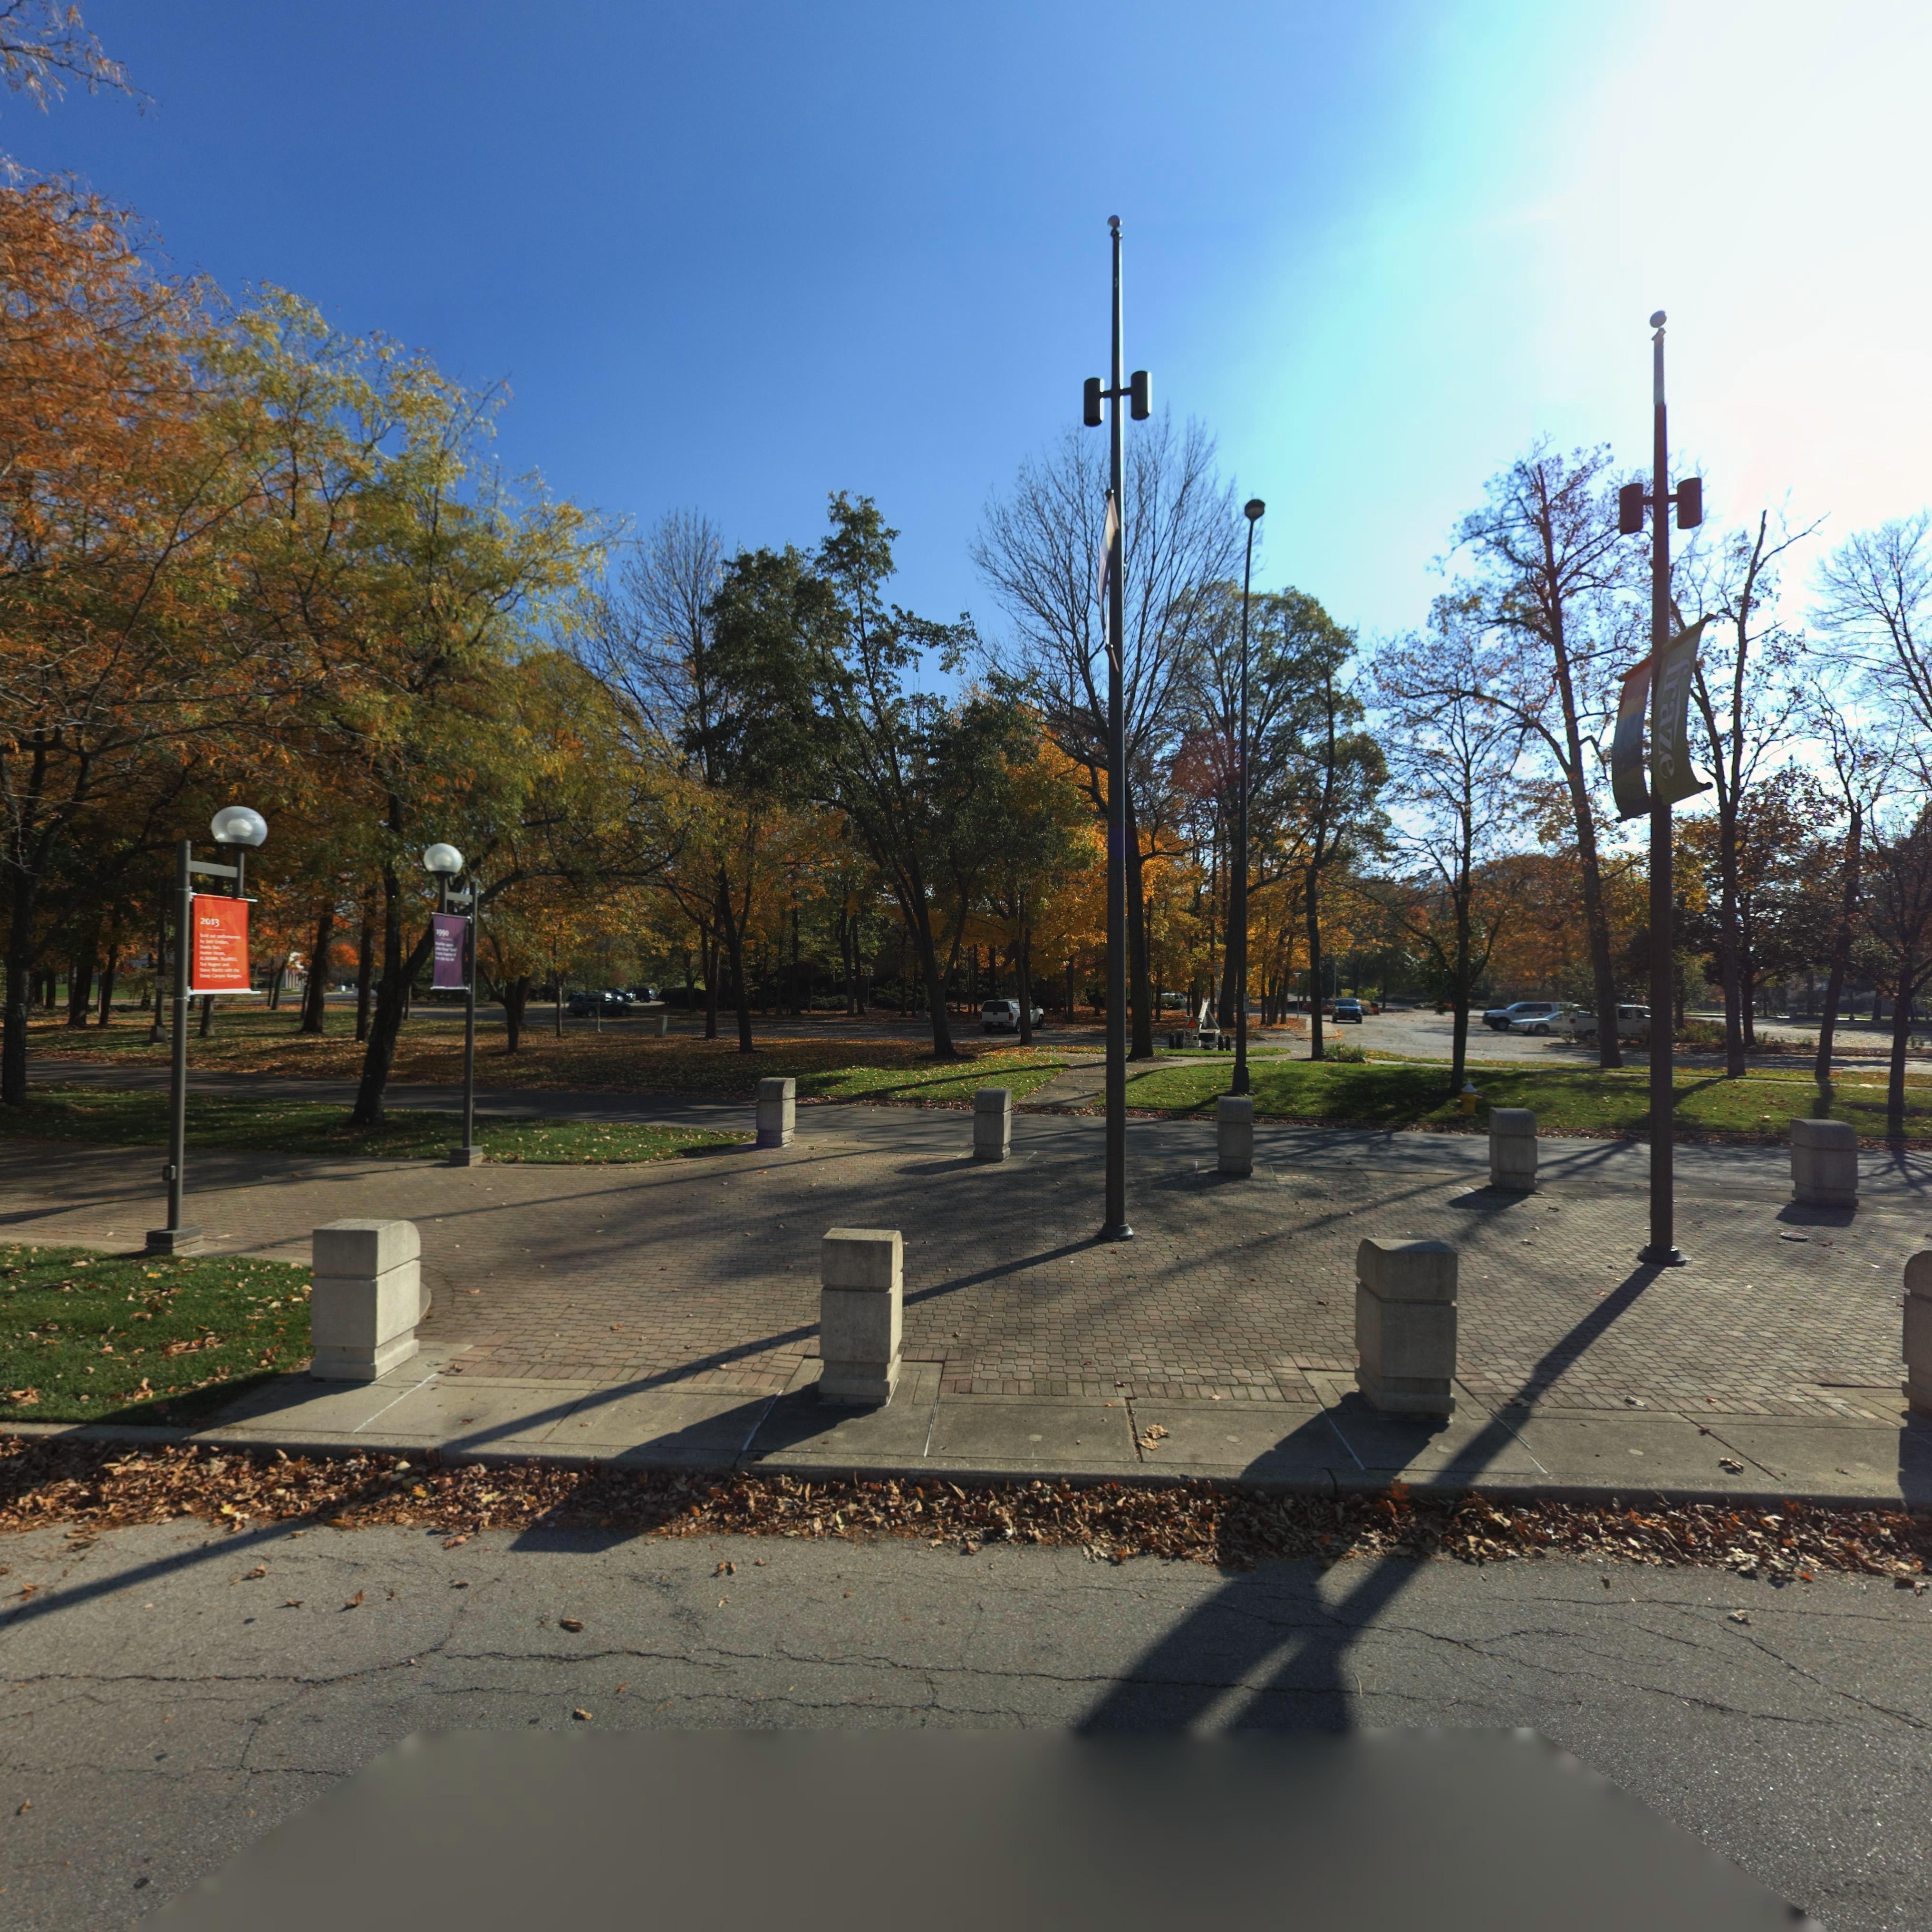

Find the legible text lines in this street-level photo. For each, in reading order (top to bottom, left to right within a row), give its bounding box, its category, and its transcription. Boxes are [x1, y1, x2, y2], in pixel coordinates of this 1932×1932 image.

[199, 917, 220, 927] None: 2013
[435, 928, 450, 937] None: 1990